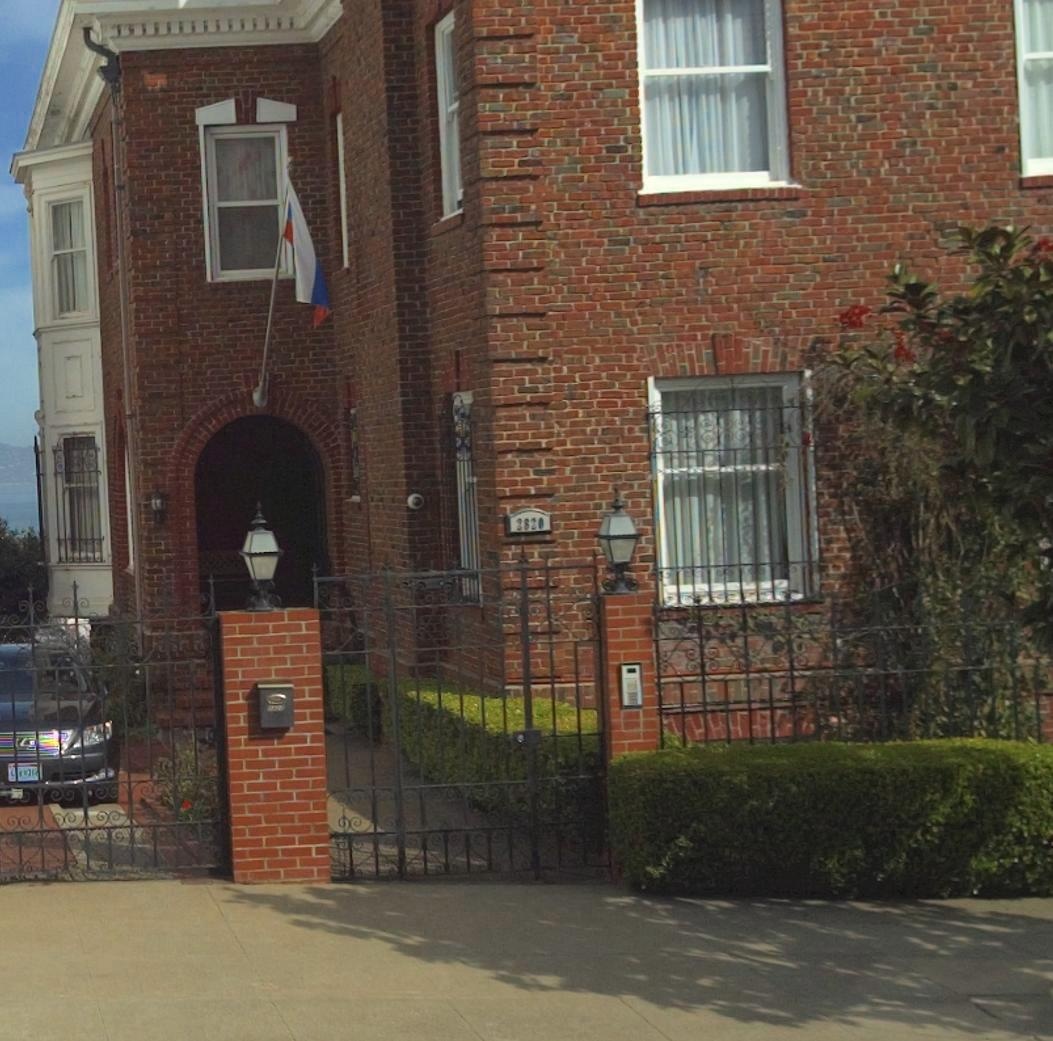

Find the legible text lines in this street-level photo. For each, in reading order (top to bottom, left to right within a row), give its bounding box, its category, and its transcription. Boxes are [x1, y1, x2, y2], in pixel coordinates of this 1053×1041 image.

[514, 515, 546, 533] StreetNumber: *820